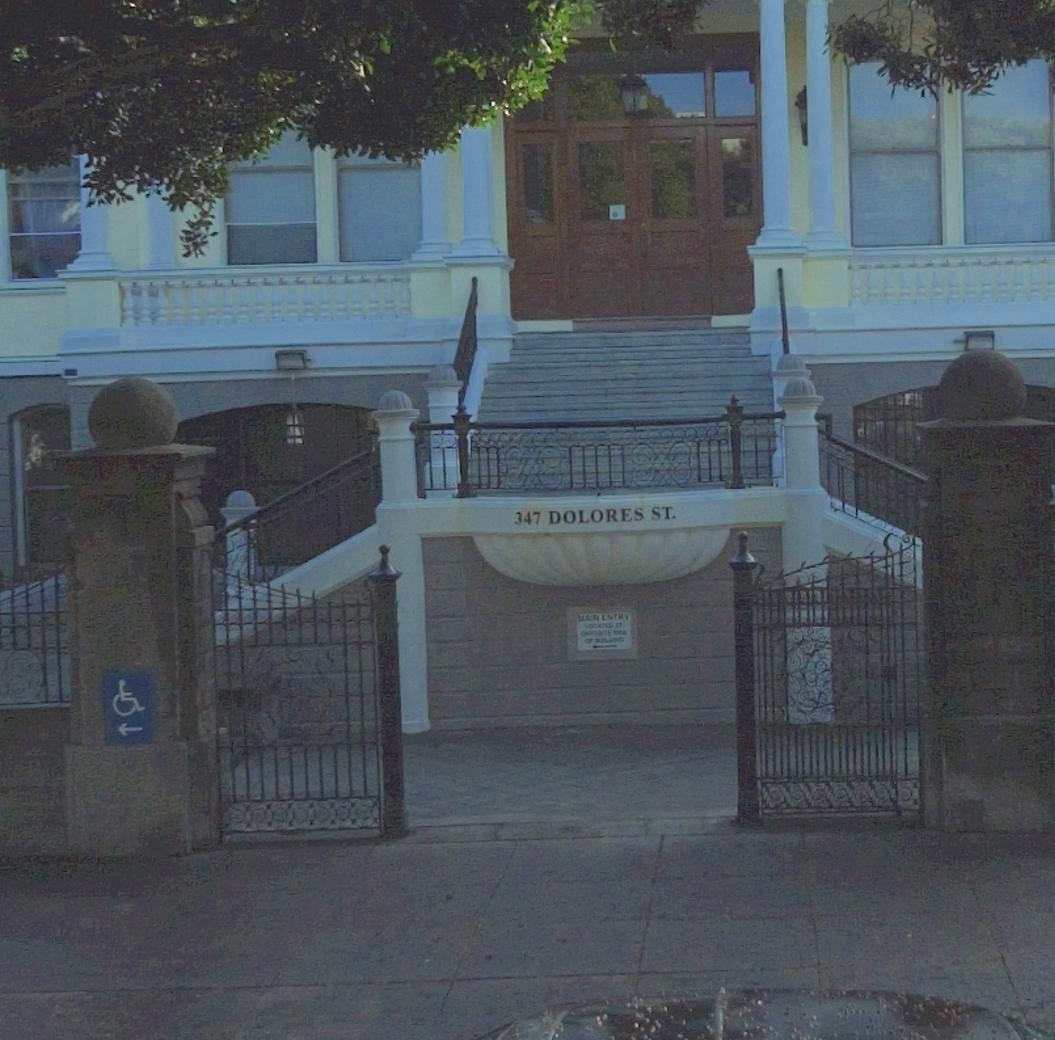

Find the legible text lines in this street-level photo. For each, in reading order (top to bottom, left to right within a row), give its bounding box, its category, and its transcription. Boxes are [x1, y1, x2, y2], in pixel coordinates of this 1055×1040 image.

[511, 511, 542, 526] StreetNumber: 347
[547, 505, 677, 525] StreetName: DOLORES ST.
[577, 612, 630, 622] None: MAIN ENTRY